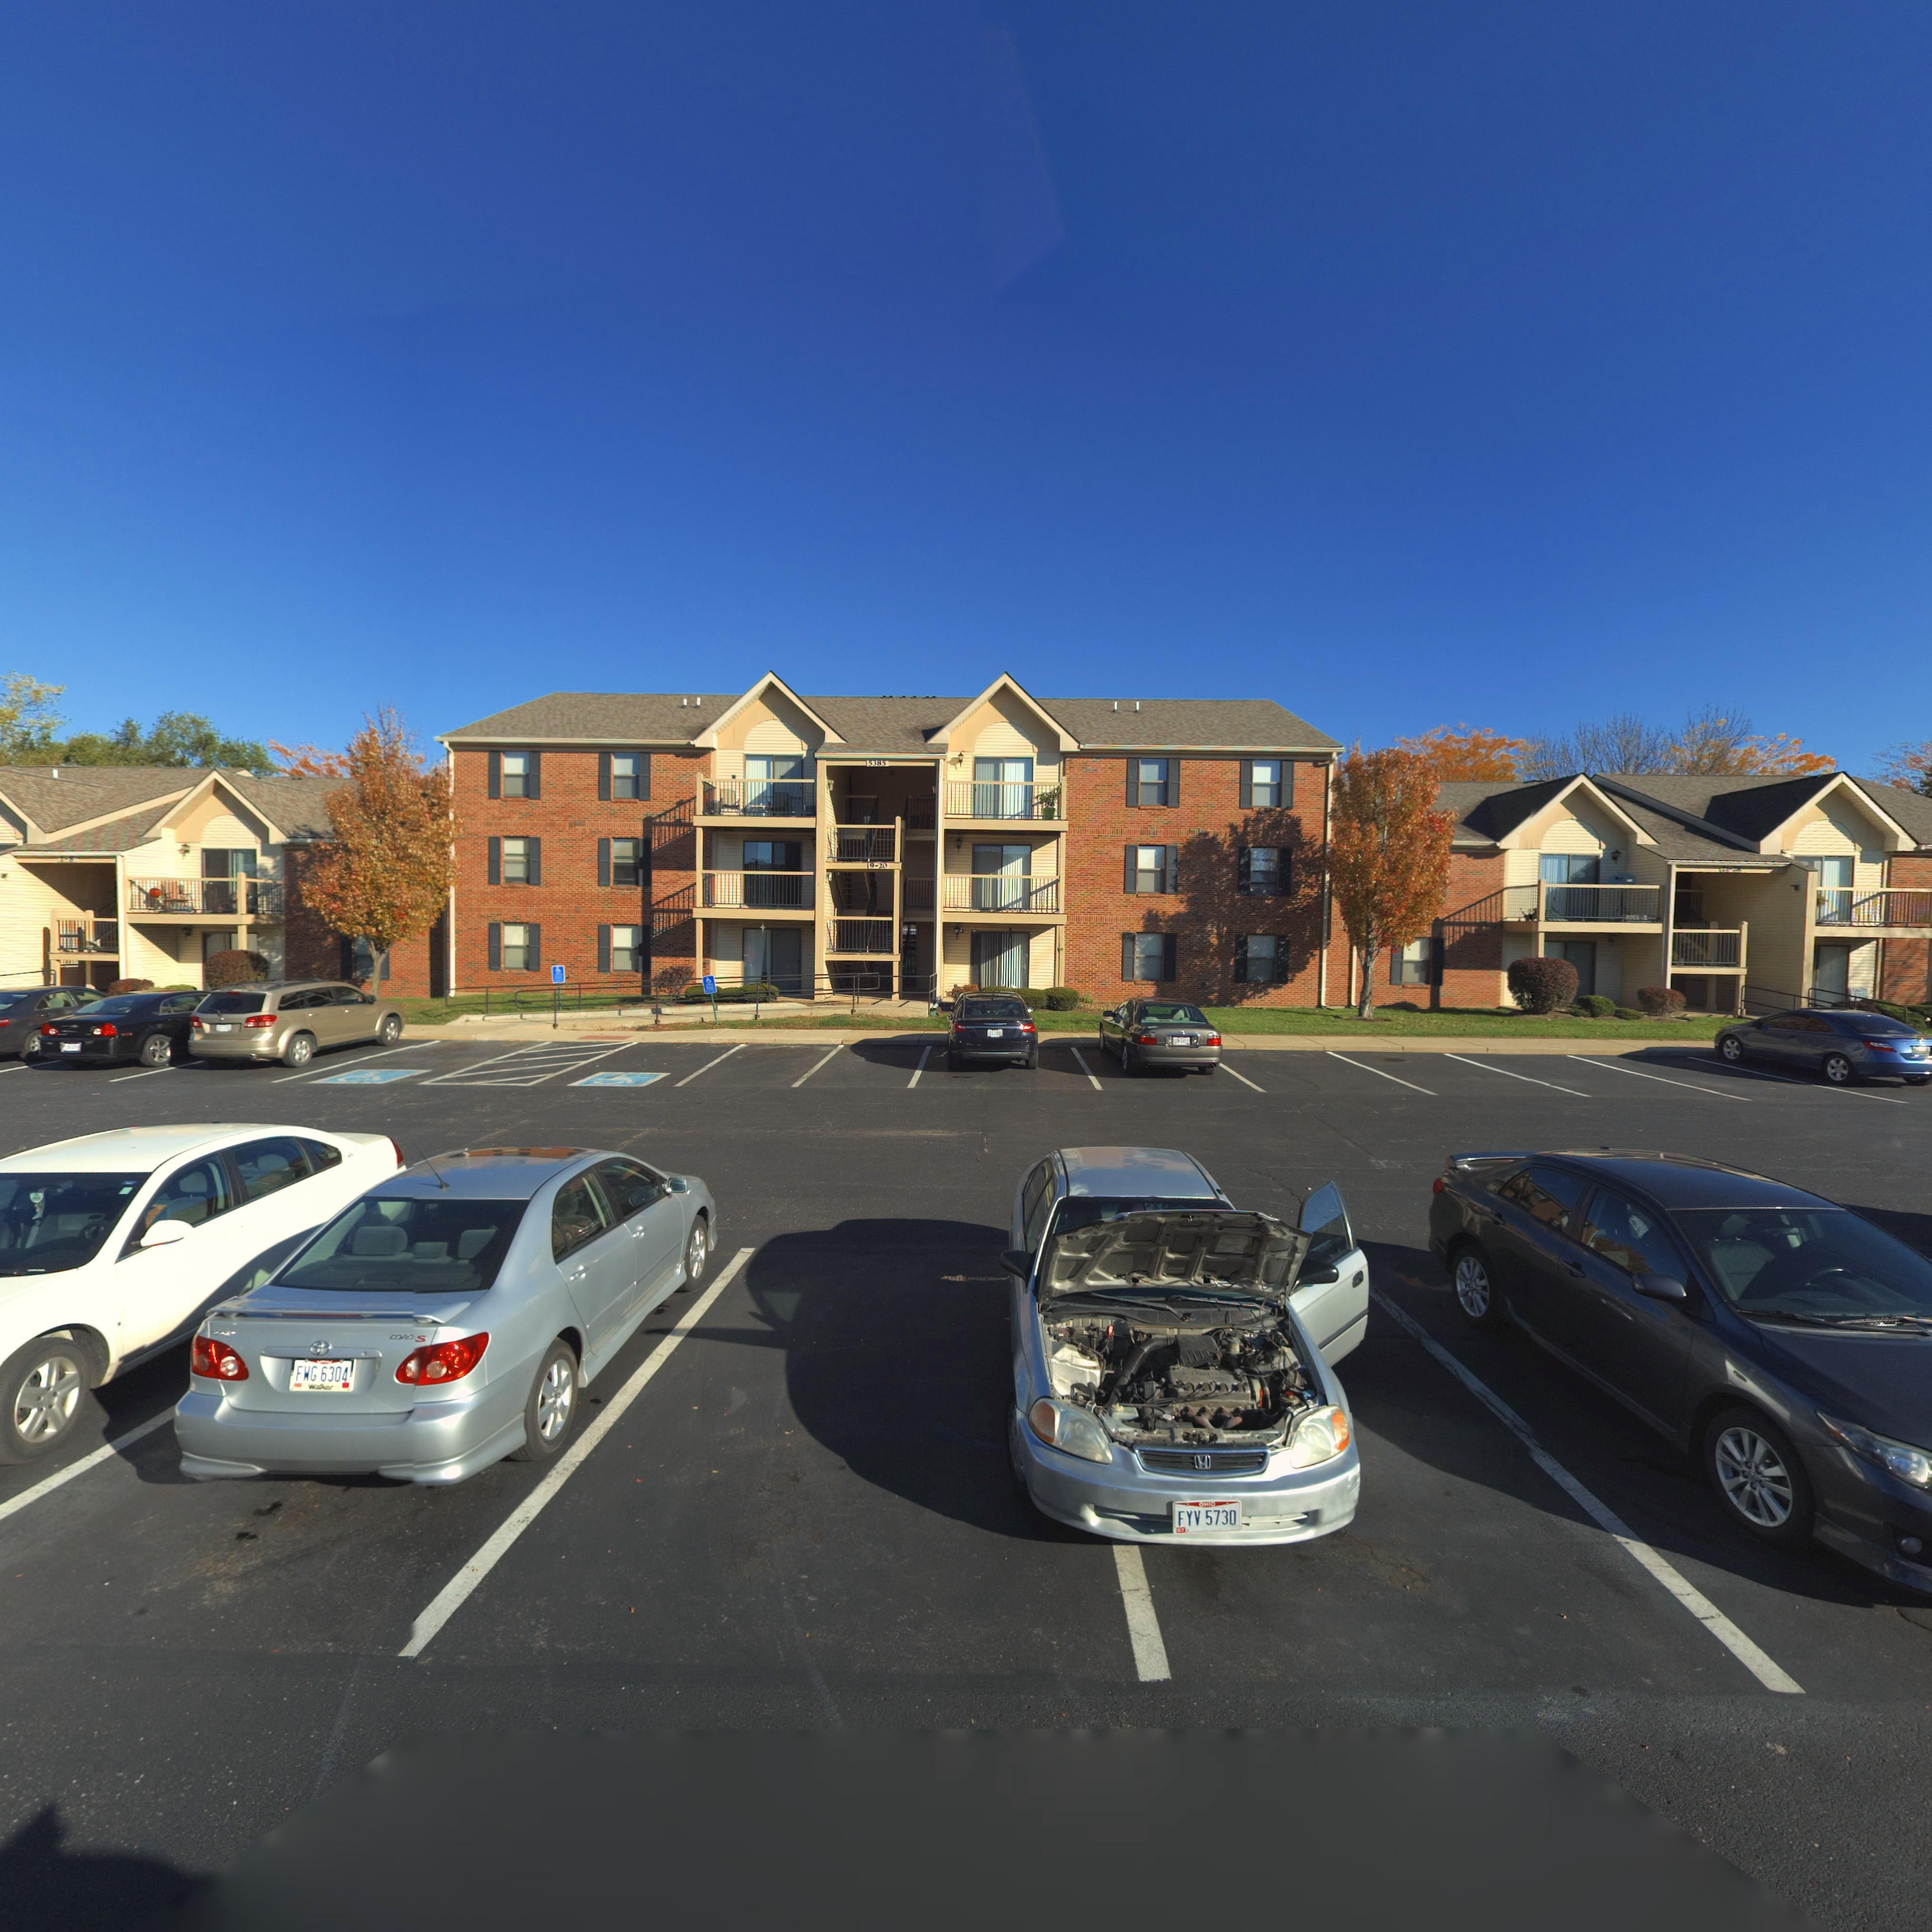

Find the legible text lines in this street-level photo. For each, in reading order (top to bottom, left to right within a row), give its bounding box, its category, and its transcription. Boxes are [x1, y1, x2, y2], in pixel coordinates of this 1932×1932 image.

[868, 759, 886, 766] StreetNumber: 5385
[59, 855, 75, 862] StreetNumber: 1-8
[869, 862, 888, 869] StreetNumber: 9-20
[1721, 866, 1740, 871] StreetNumber: 21-28